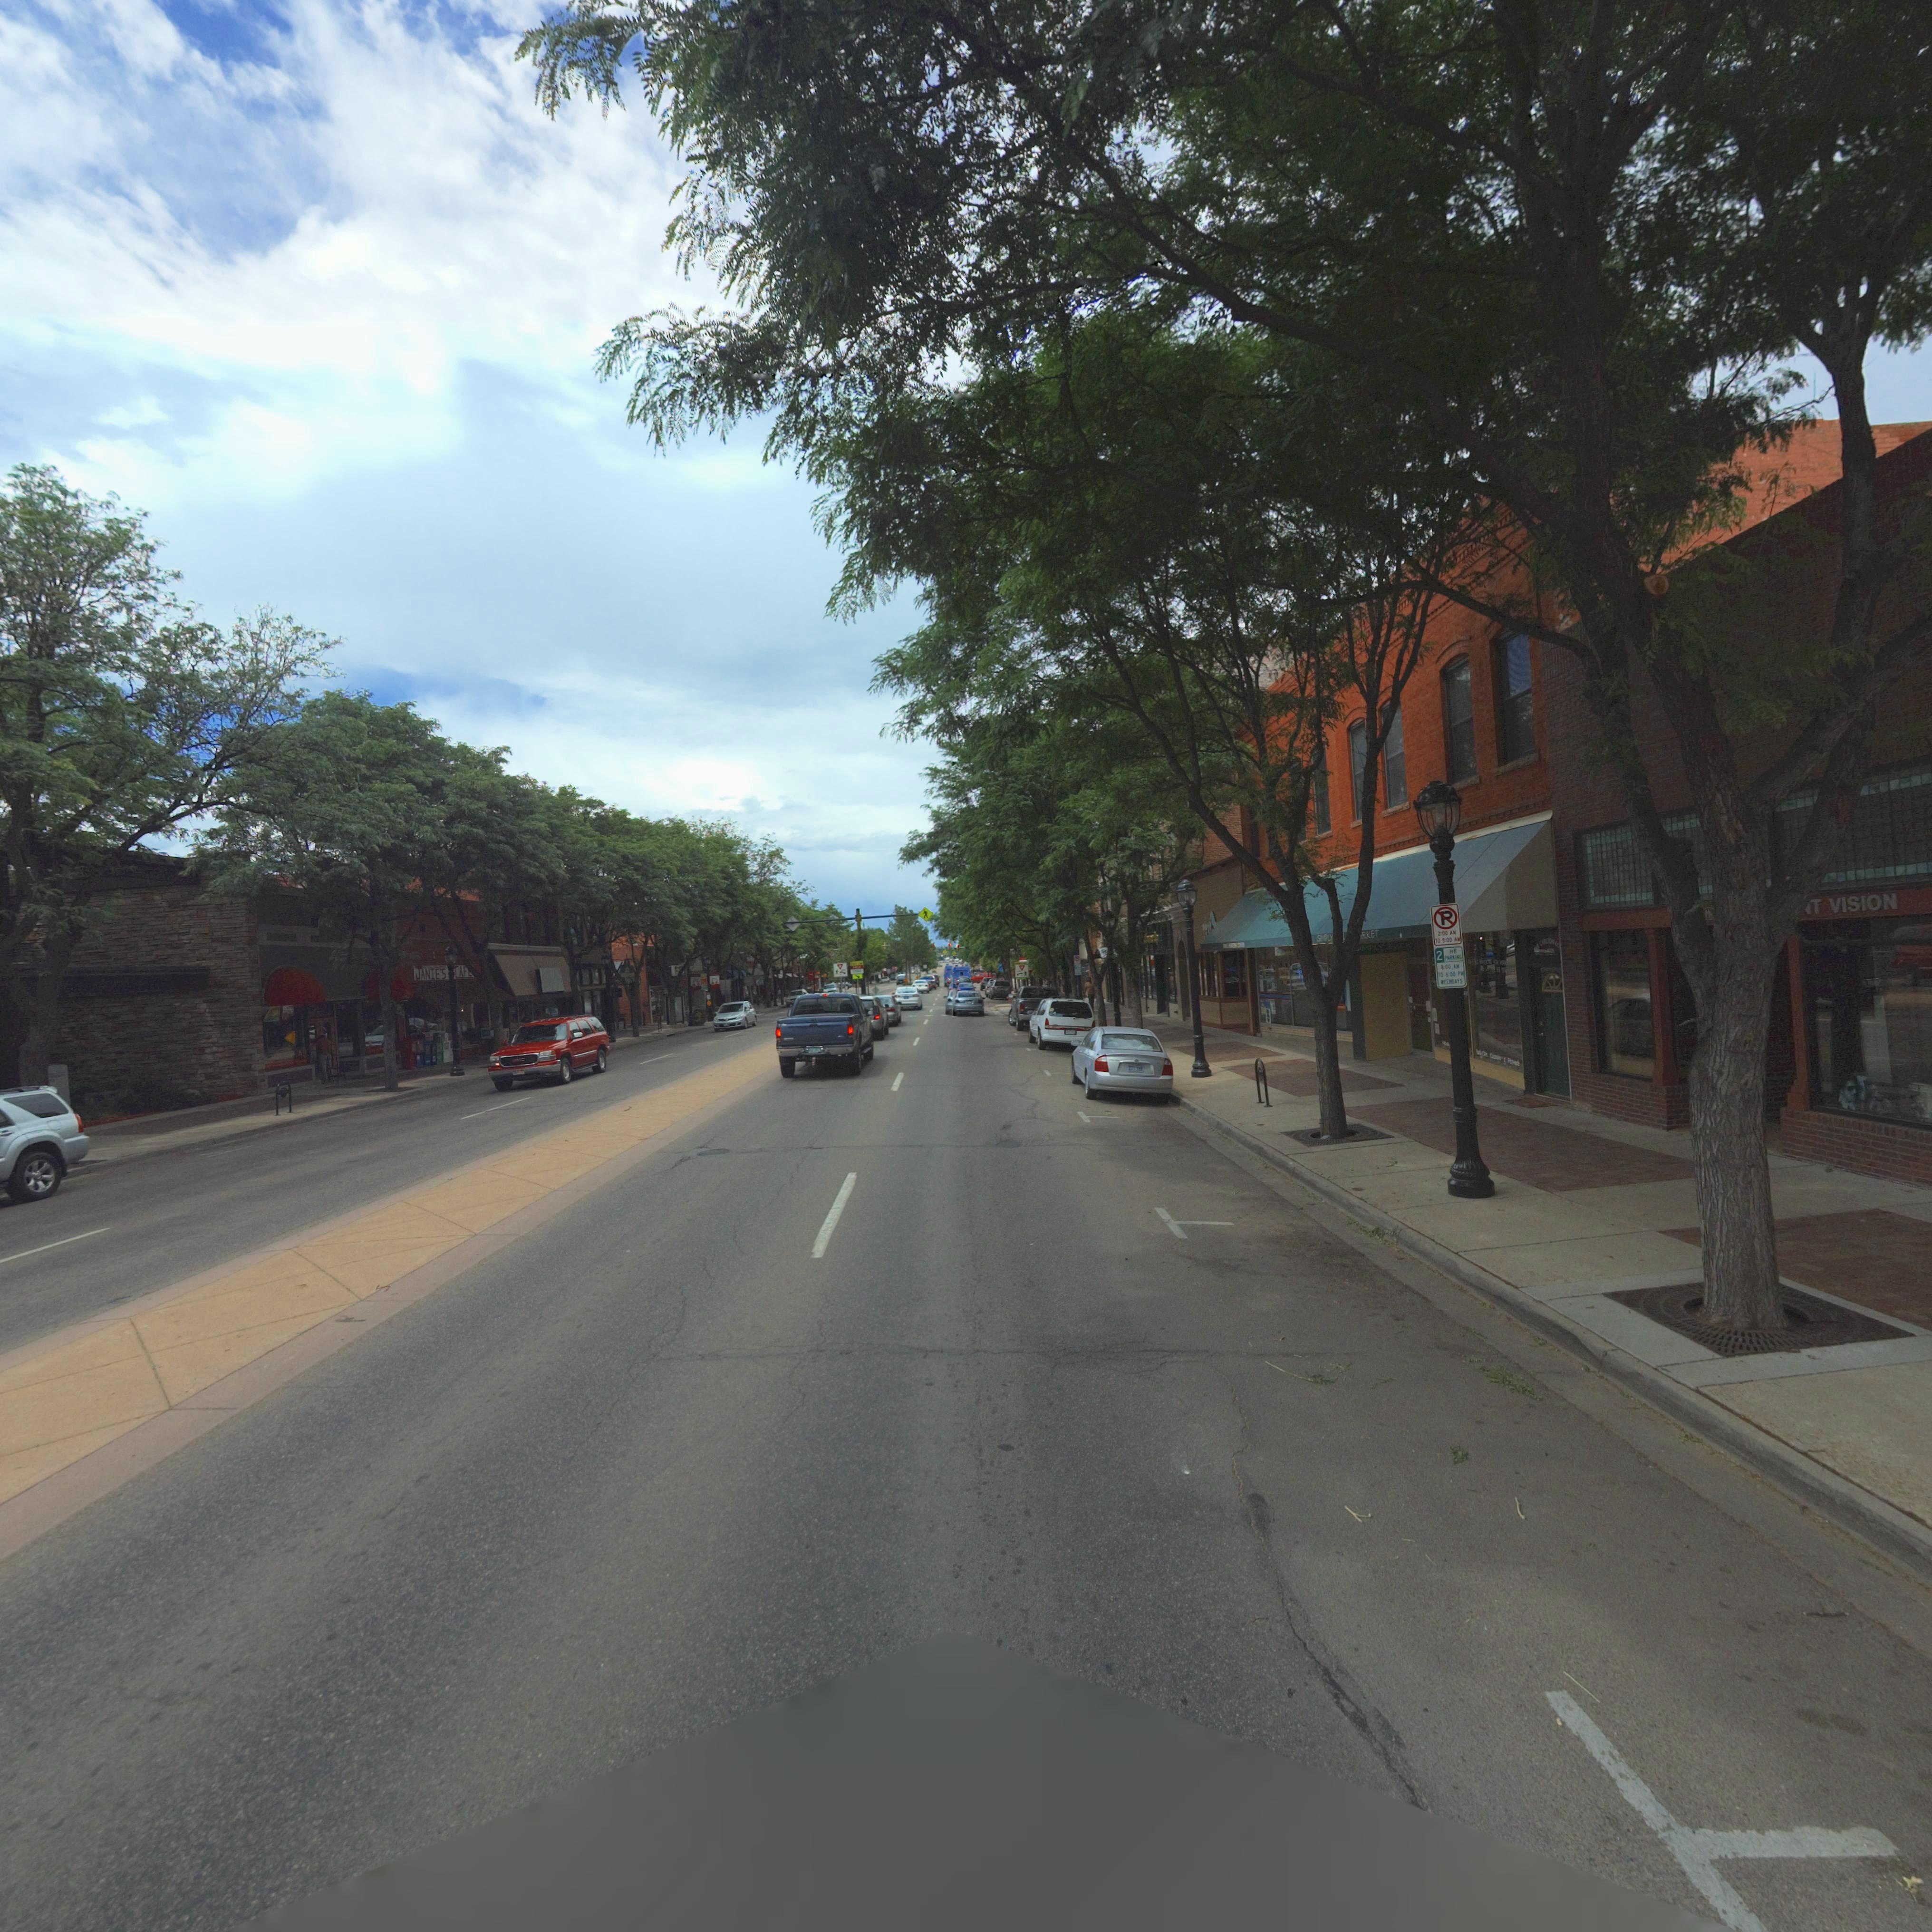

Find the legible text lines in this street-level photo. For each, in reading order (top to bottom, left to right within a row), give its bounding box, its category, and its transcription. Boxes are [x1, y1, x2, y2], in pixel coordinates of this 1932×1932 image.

[1803, 892, 1898, 915] BusinessName: ****T VISION
[1317, 929, 1380, 942] BusinessName: S*MPLY *** **RKET
[1355, 944, 1384, 952] BusinessName: **MPLY
[414, 965, 473, 979] BusinessName: JANIE'S CAF*